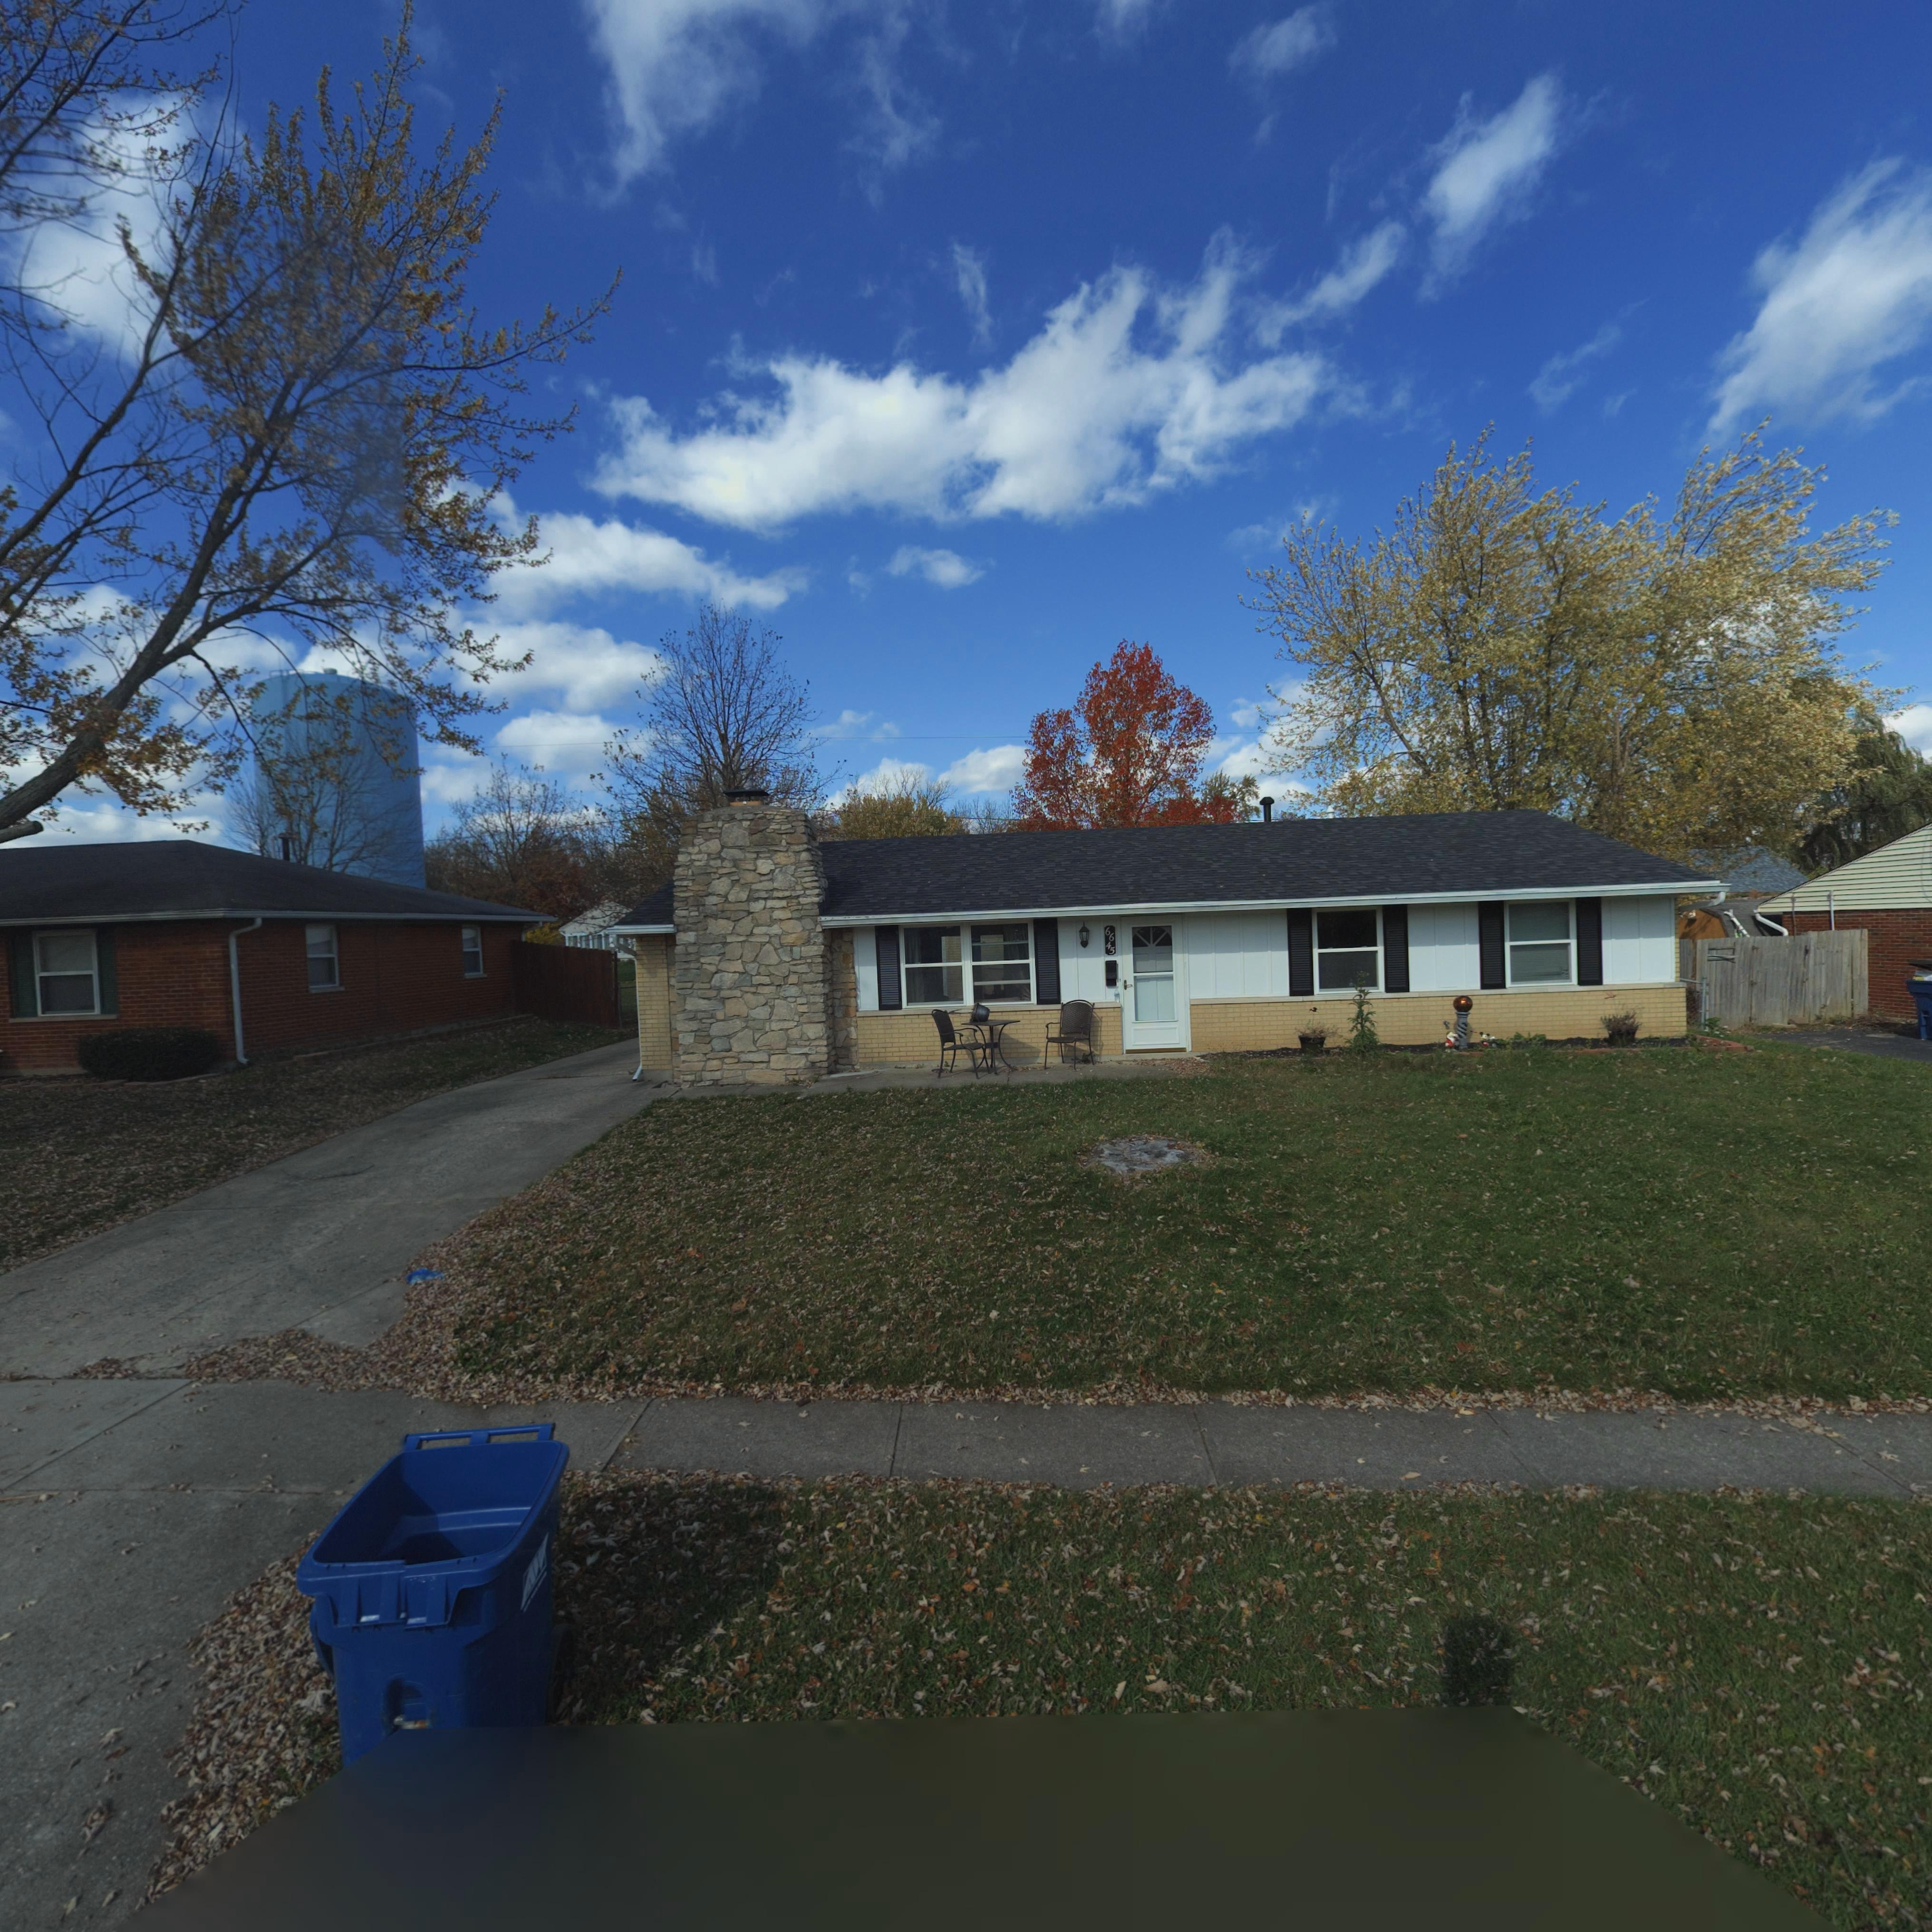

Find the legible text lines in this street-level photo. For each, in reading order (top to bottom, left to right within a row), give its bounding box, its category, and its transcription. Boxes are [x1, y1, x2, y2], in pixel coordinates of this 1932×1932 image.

[1105, 926, 1115, 942] StreetNumber: 66
[1105, 940, 1116, 955] StreetNumber: 45